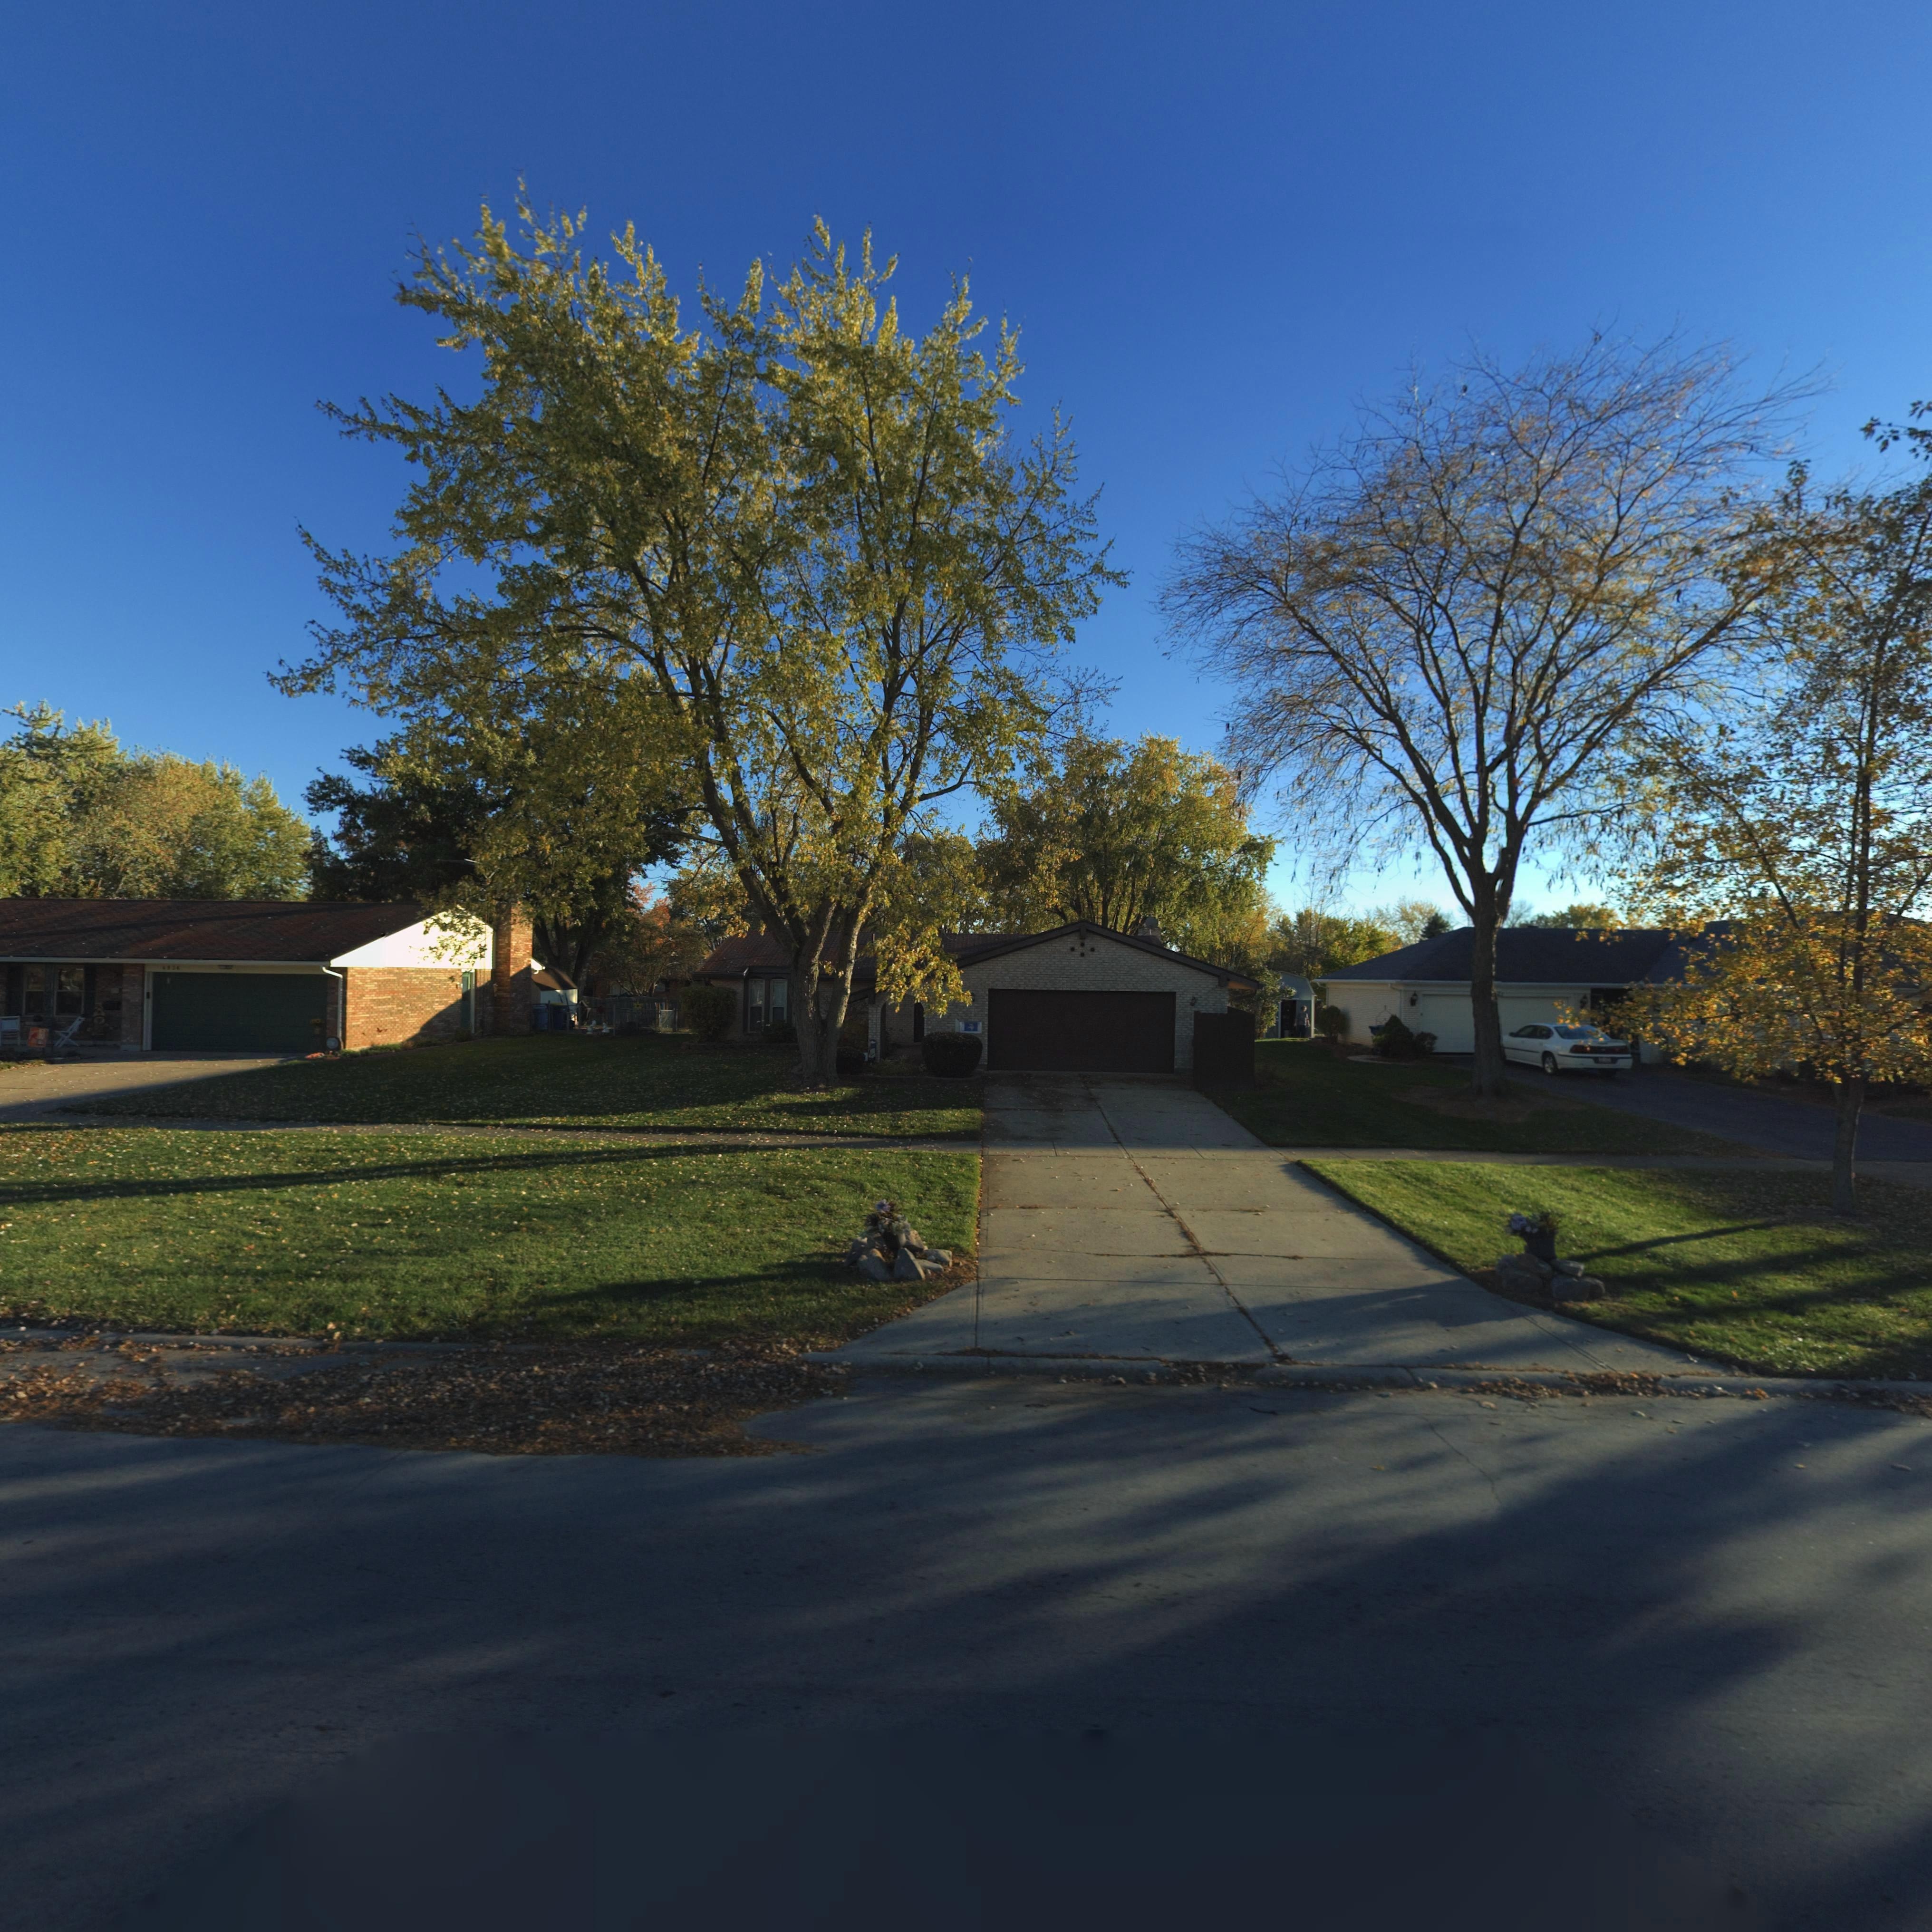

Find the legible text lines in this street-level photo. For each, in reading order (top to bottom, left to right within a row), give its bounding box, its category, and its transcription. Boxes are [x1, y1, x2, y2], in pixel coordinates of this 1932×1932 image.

[162, 965, 181, 970] StreetNumber: 493*